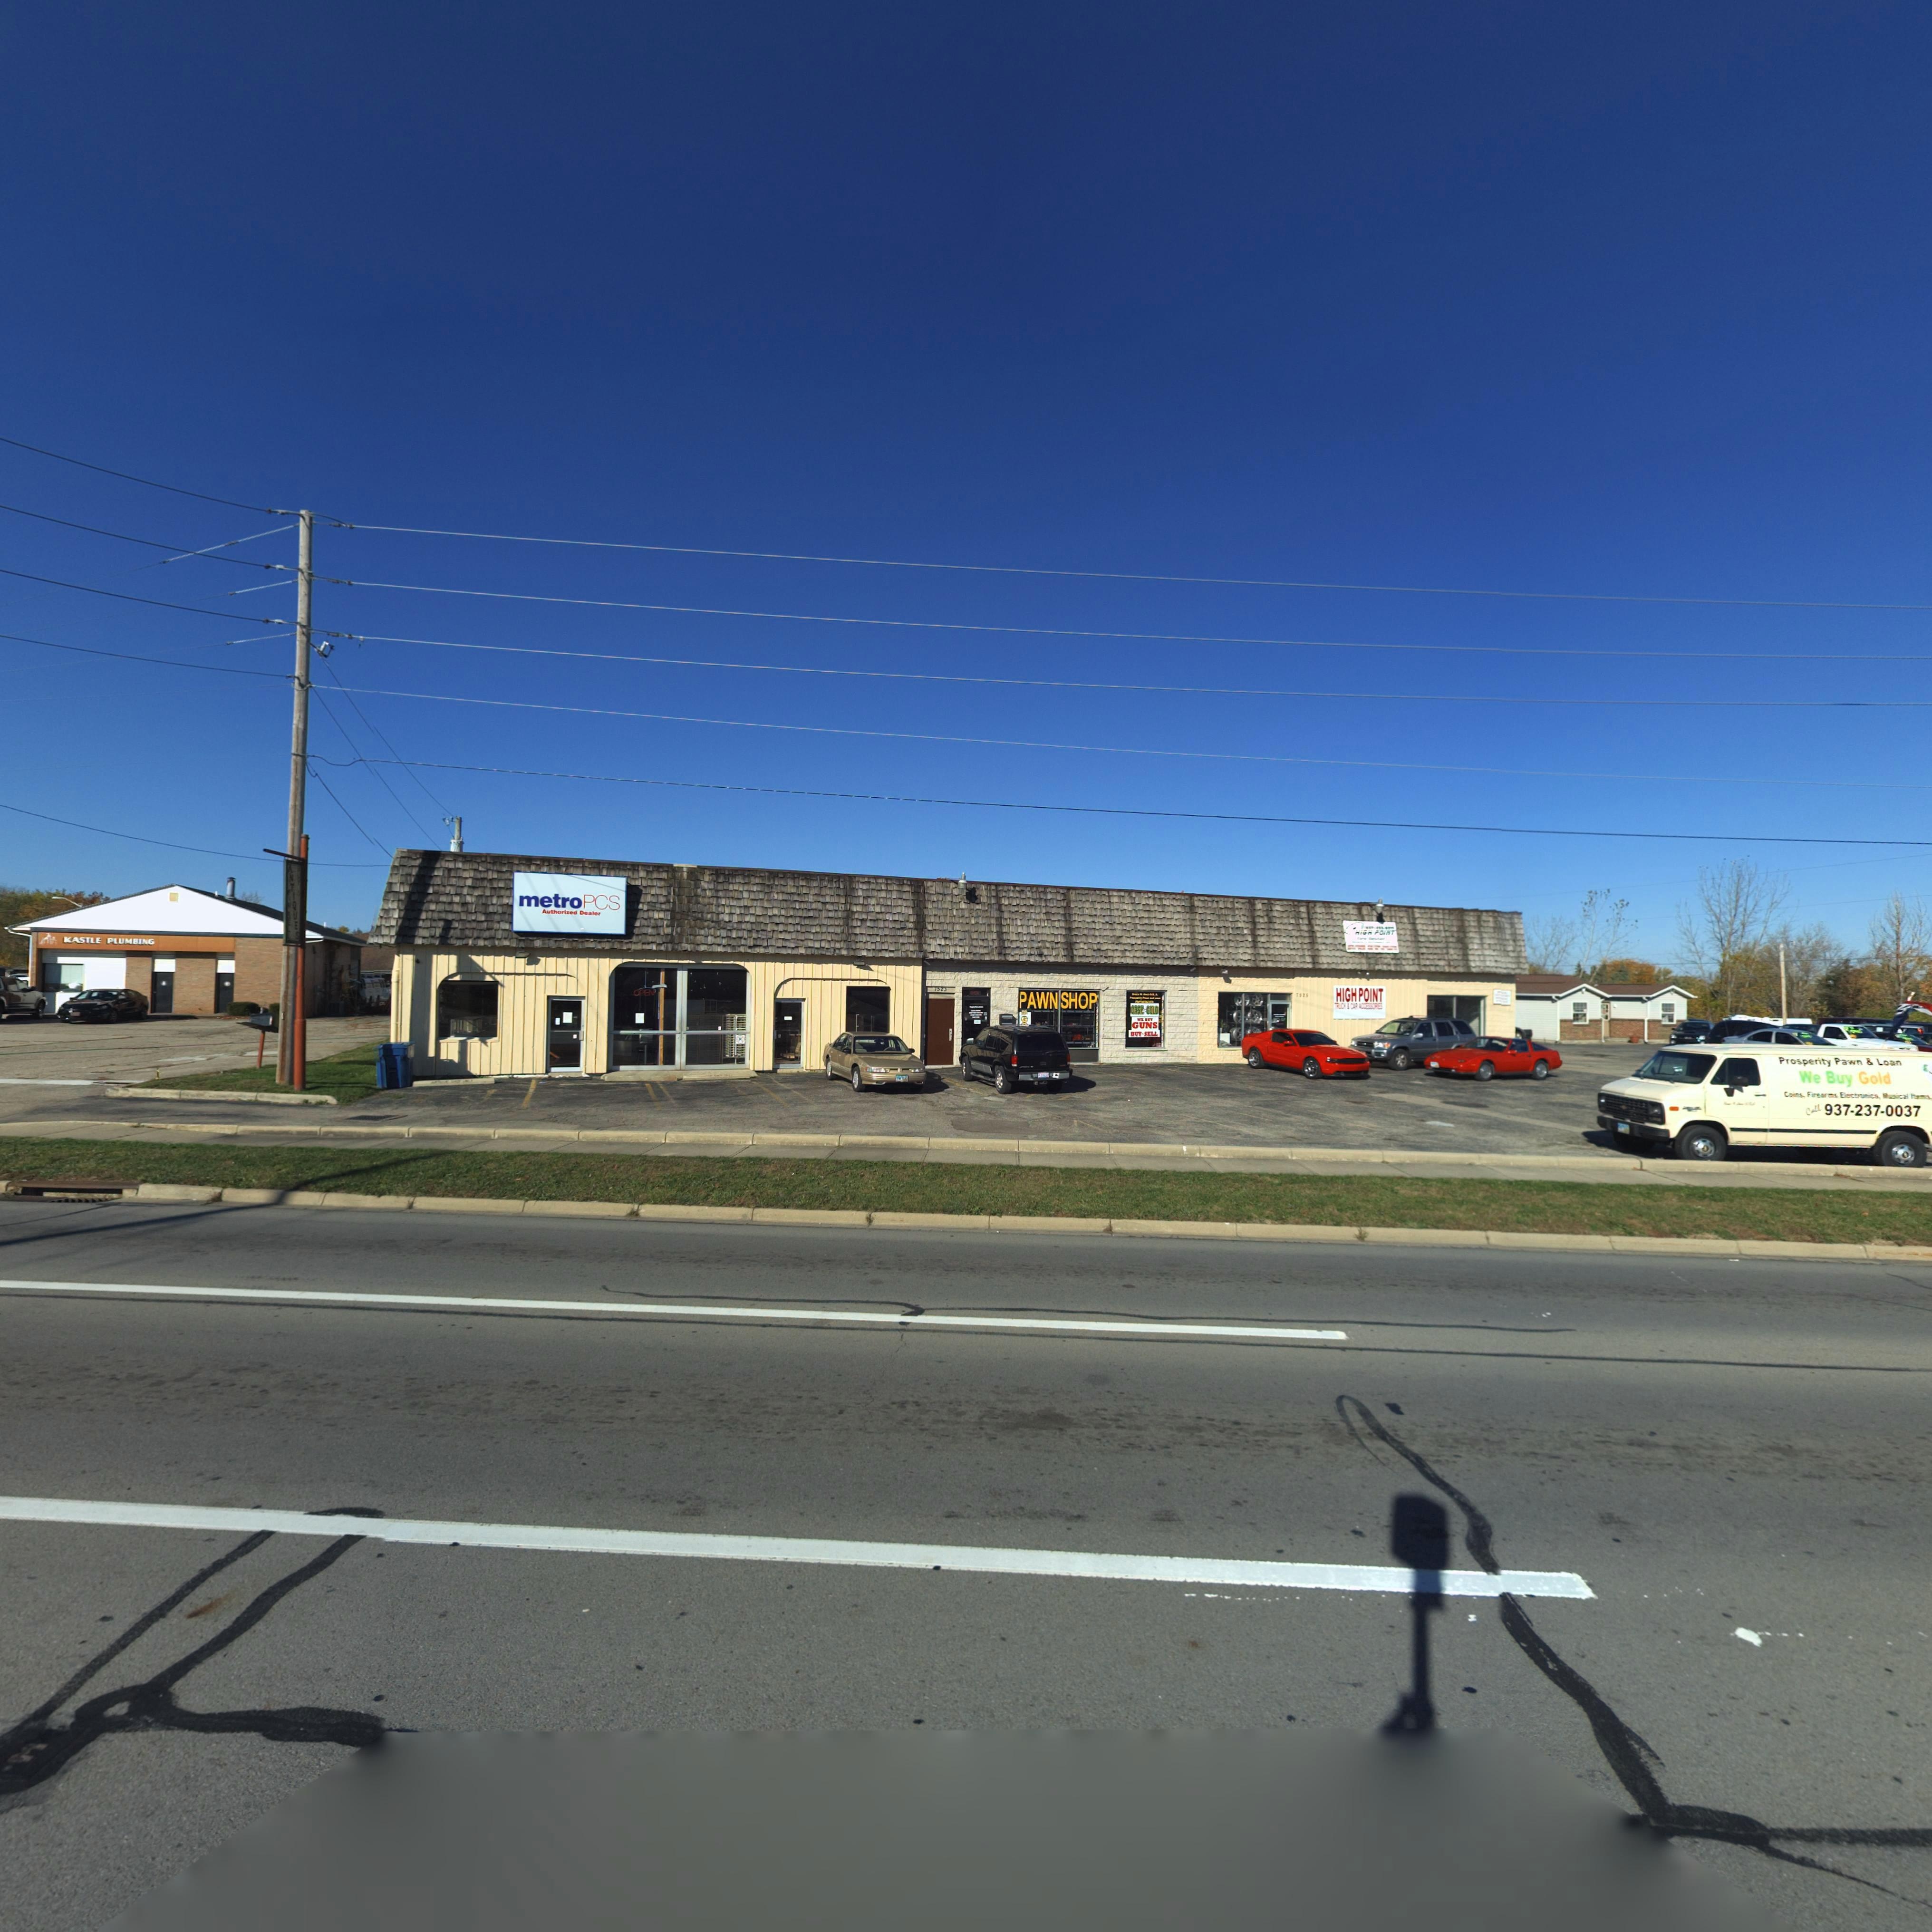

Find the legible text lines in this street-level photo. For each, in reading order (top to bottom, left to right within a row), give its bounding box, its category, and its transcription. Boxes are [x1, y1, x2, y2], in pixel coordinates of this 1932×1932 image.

[287, 863, 300, 941] BusinessName: ANTIQUES
[518, 892, 621, 911] BusinessName: metroPCS
[1353, 929, 1397, 936] BusinessName: HIGH POINT
[63, 936, 155, 946] BusinessName: KASTLE PLUMBING
[933, 986, 948, 993] StreetNumber: 7523
[1295, 992, 1310, 999] StreetNumber: 7***
[1335, 987, 1384, 1003] BusinessName: HIGH POINT
[1130, 1005, 1159, 1015] BusinessName: CASH4GOLD
[1333, 1003, 1384, 1010] BusinessName: TRUCK & CAR ACCESSORIES